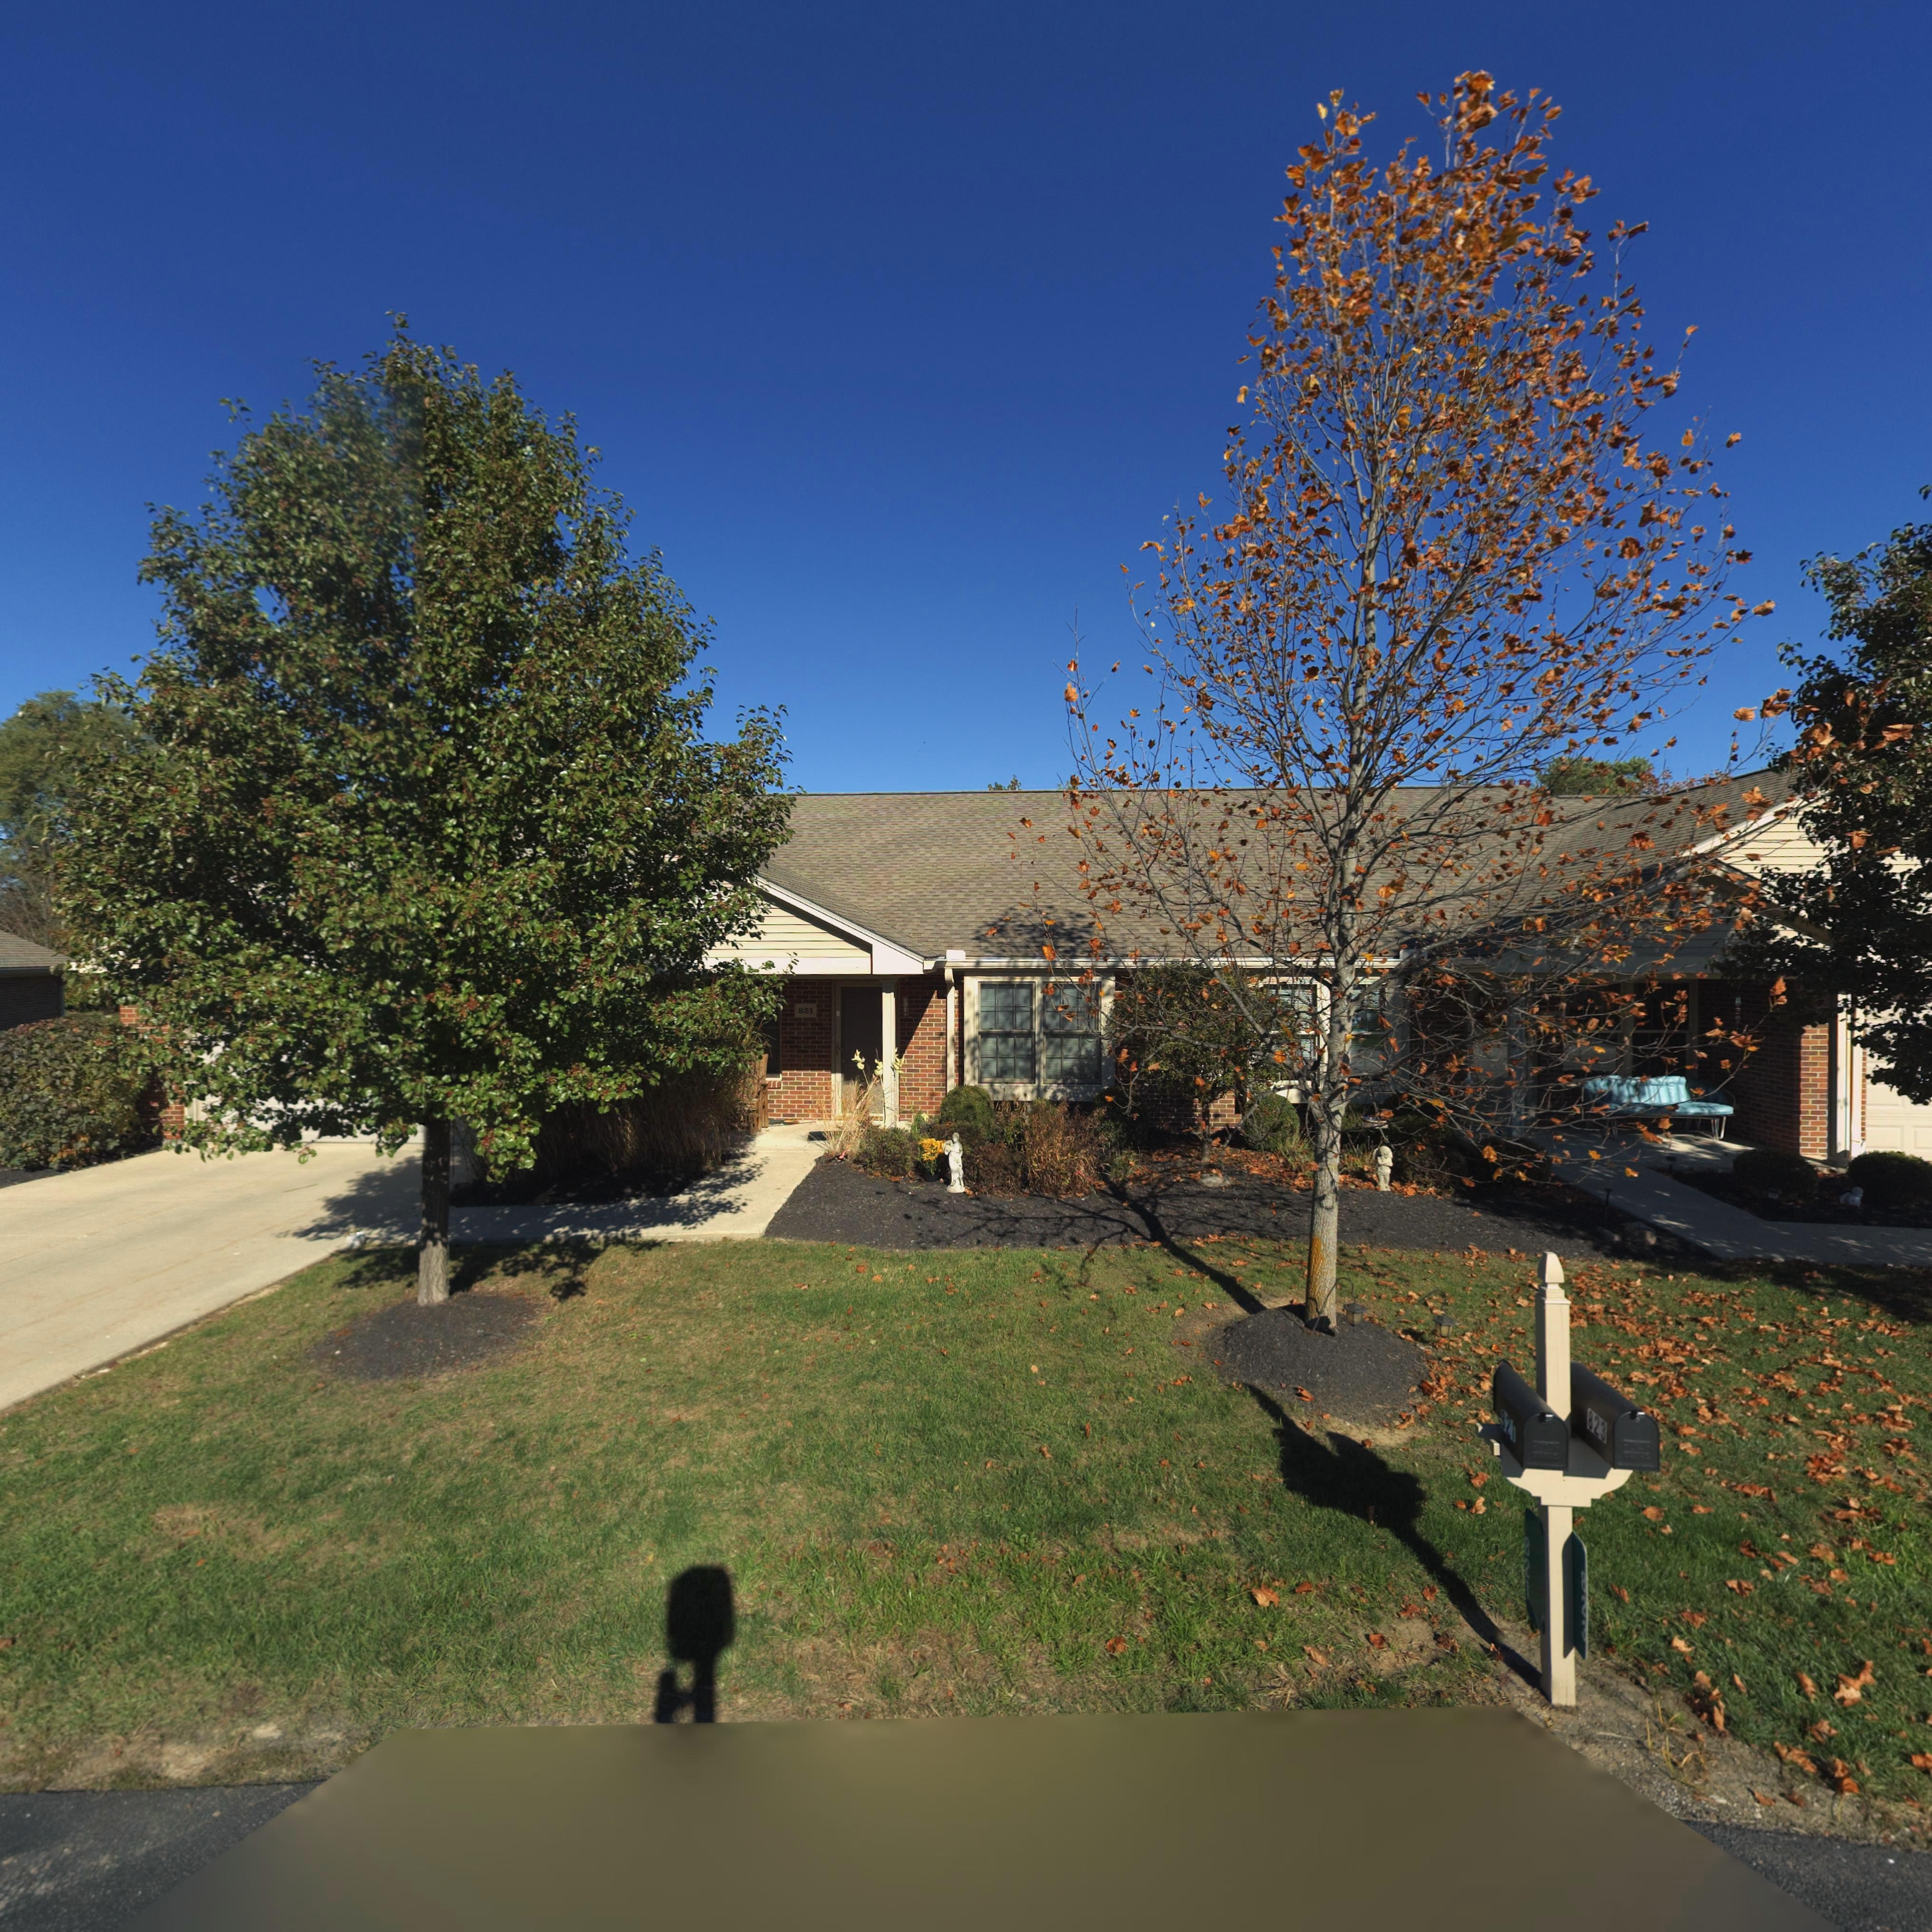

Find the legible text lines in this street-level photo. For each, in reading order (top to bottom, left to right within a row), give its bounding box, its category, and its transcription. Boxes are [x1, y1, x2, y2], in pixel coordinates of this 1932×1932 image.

[798, 1007, 813, 1014] StreetNumber: 821
[1501, 1407, 1517, 1444] StreetNumber: 821
[1587, 1408, 1607, 1443] StreetNumber: 823
[1525, 1533, 1531, 1602] StreetNumber: 821
[1580, 1570, 1588, 1644] StreetNumber: 823